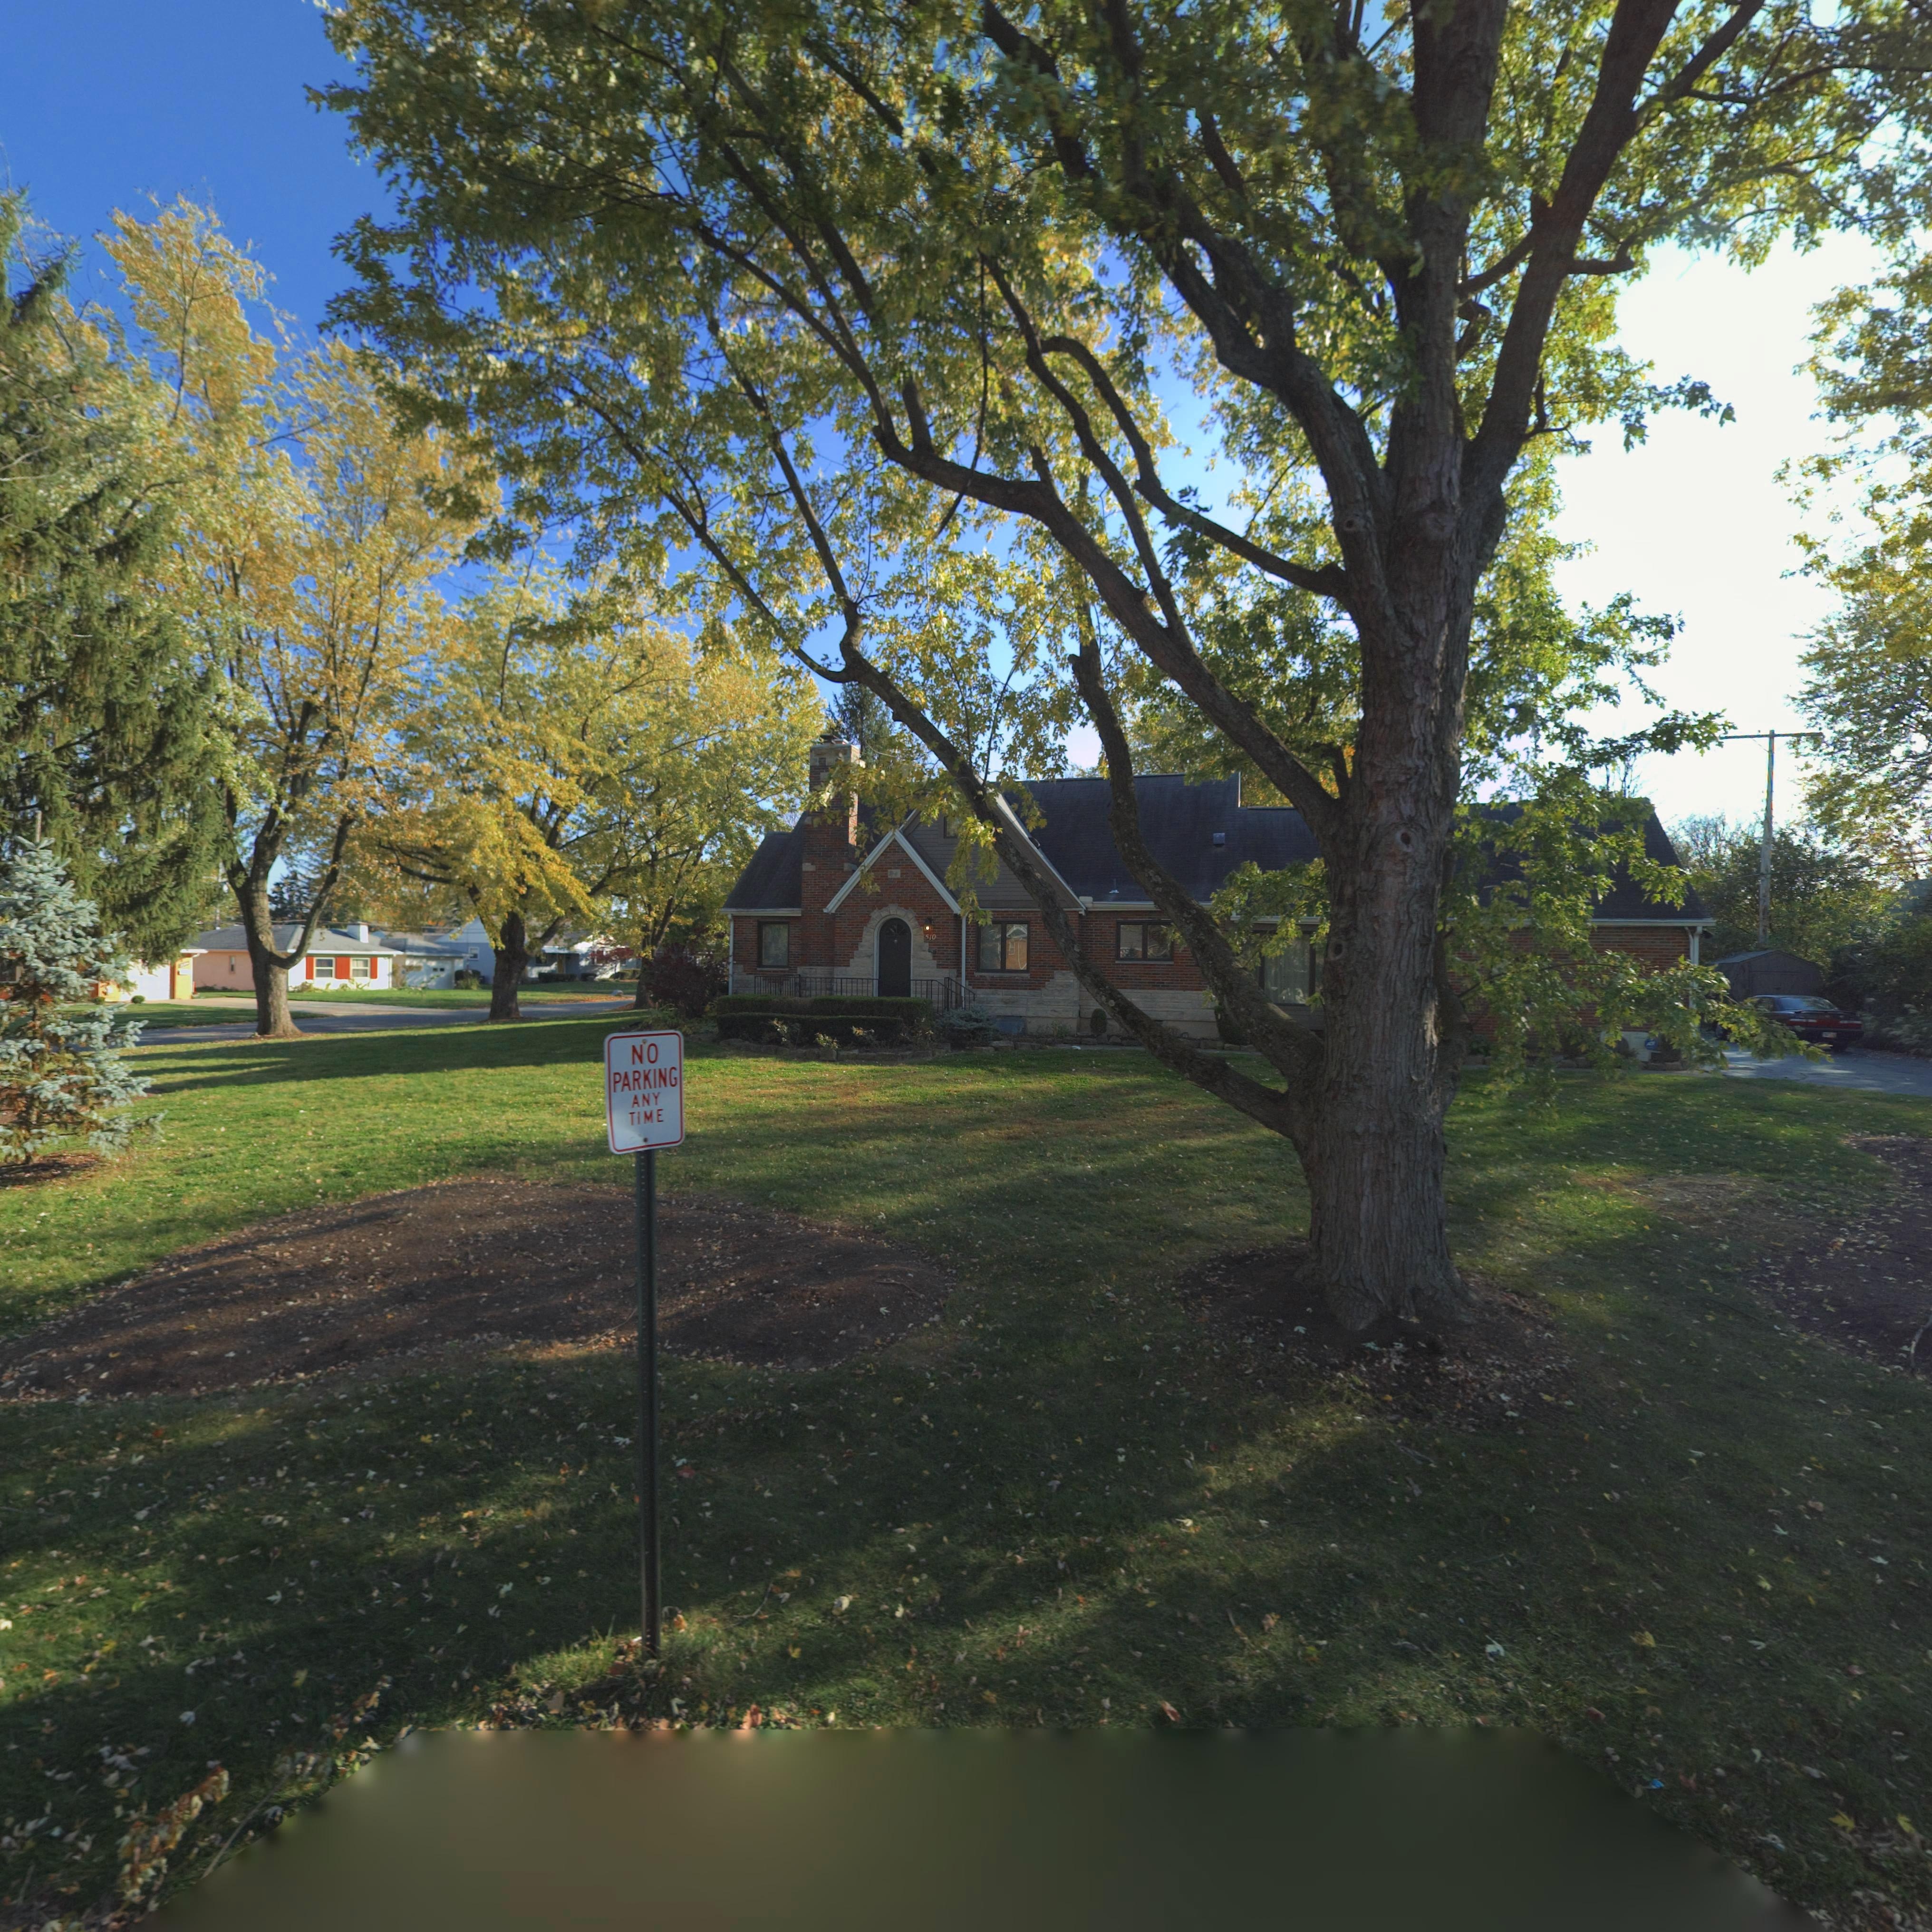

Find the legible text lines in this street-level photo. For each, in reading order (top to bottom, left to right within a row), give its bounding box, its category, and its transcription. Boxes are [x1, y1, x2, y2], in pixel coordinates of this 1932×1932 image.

[925, 933, 937, 941] StreetNumber: 510